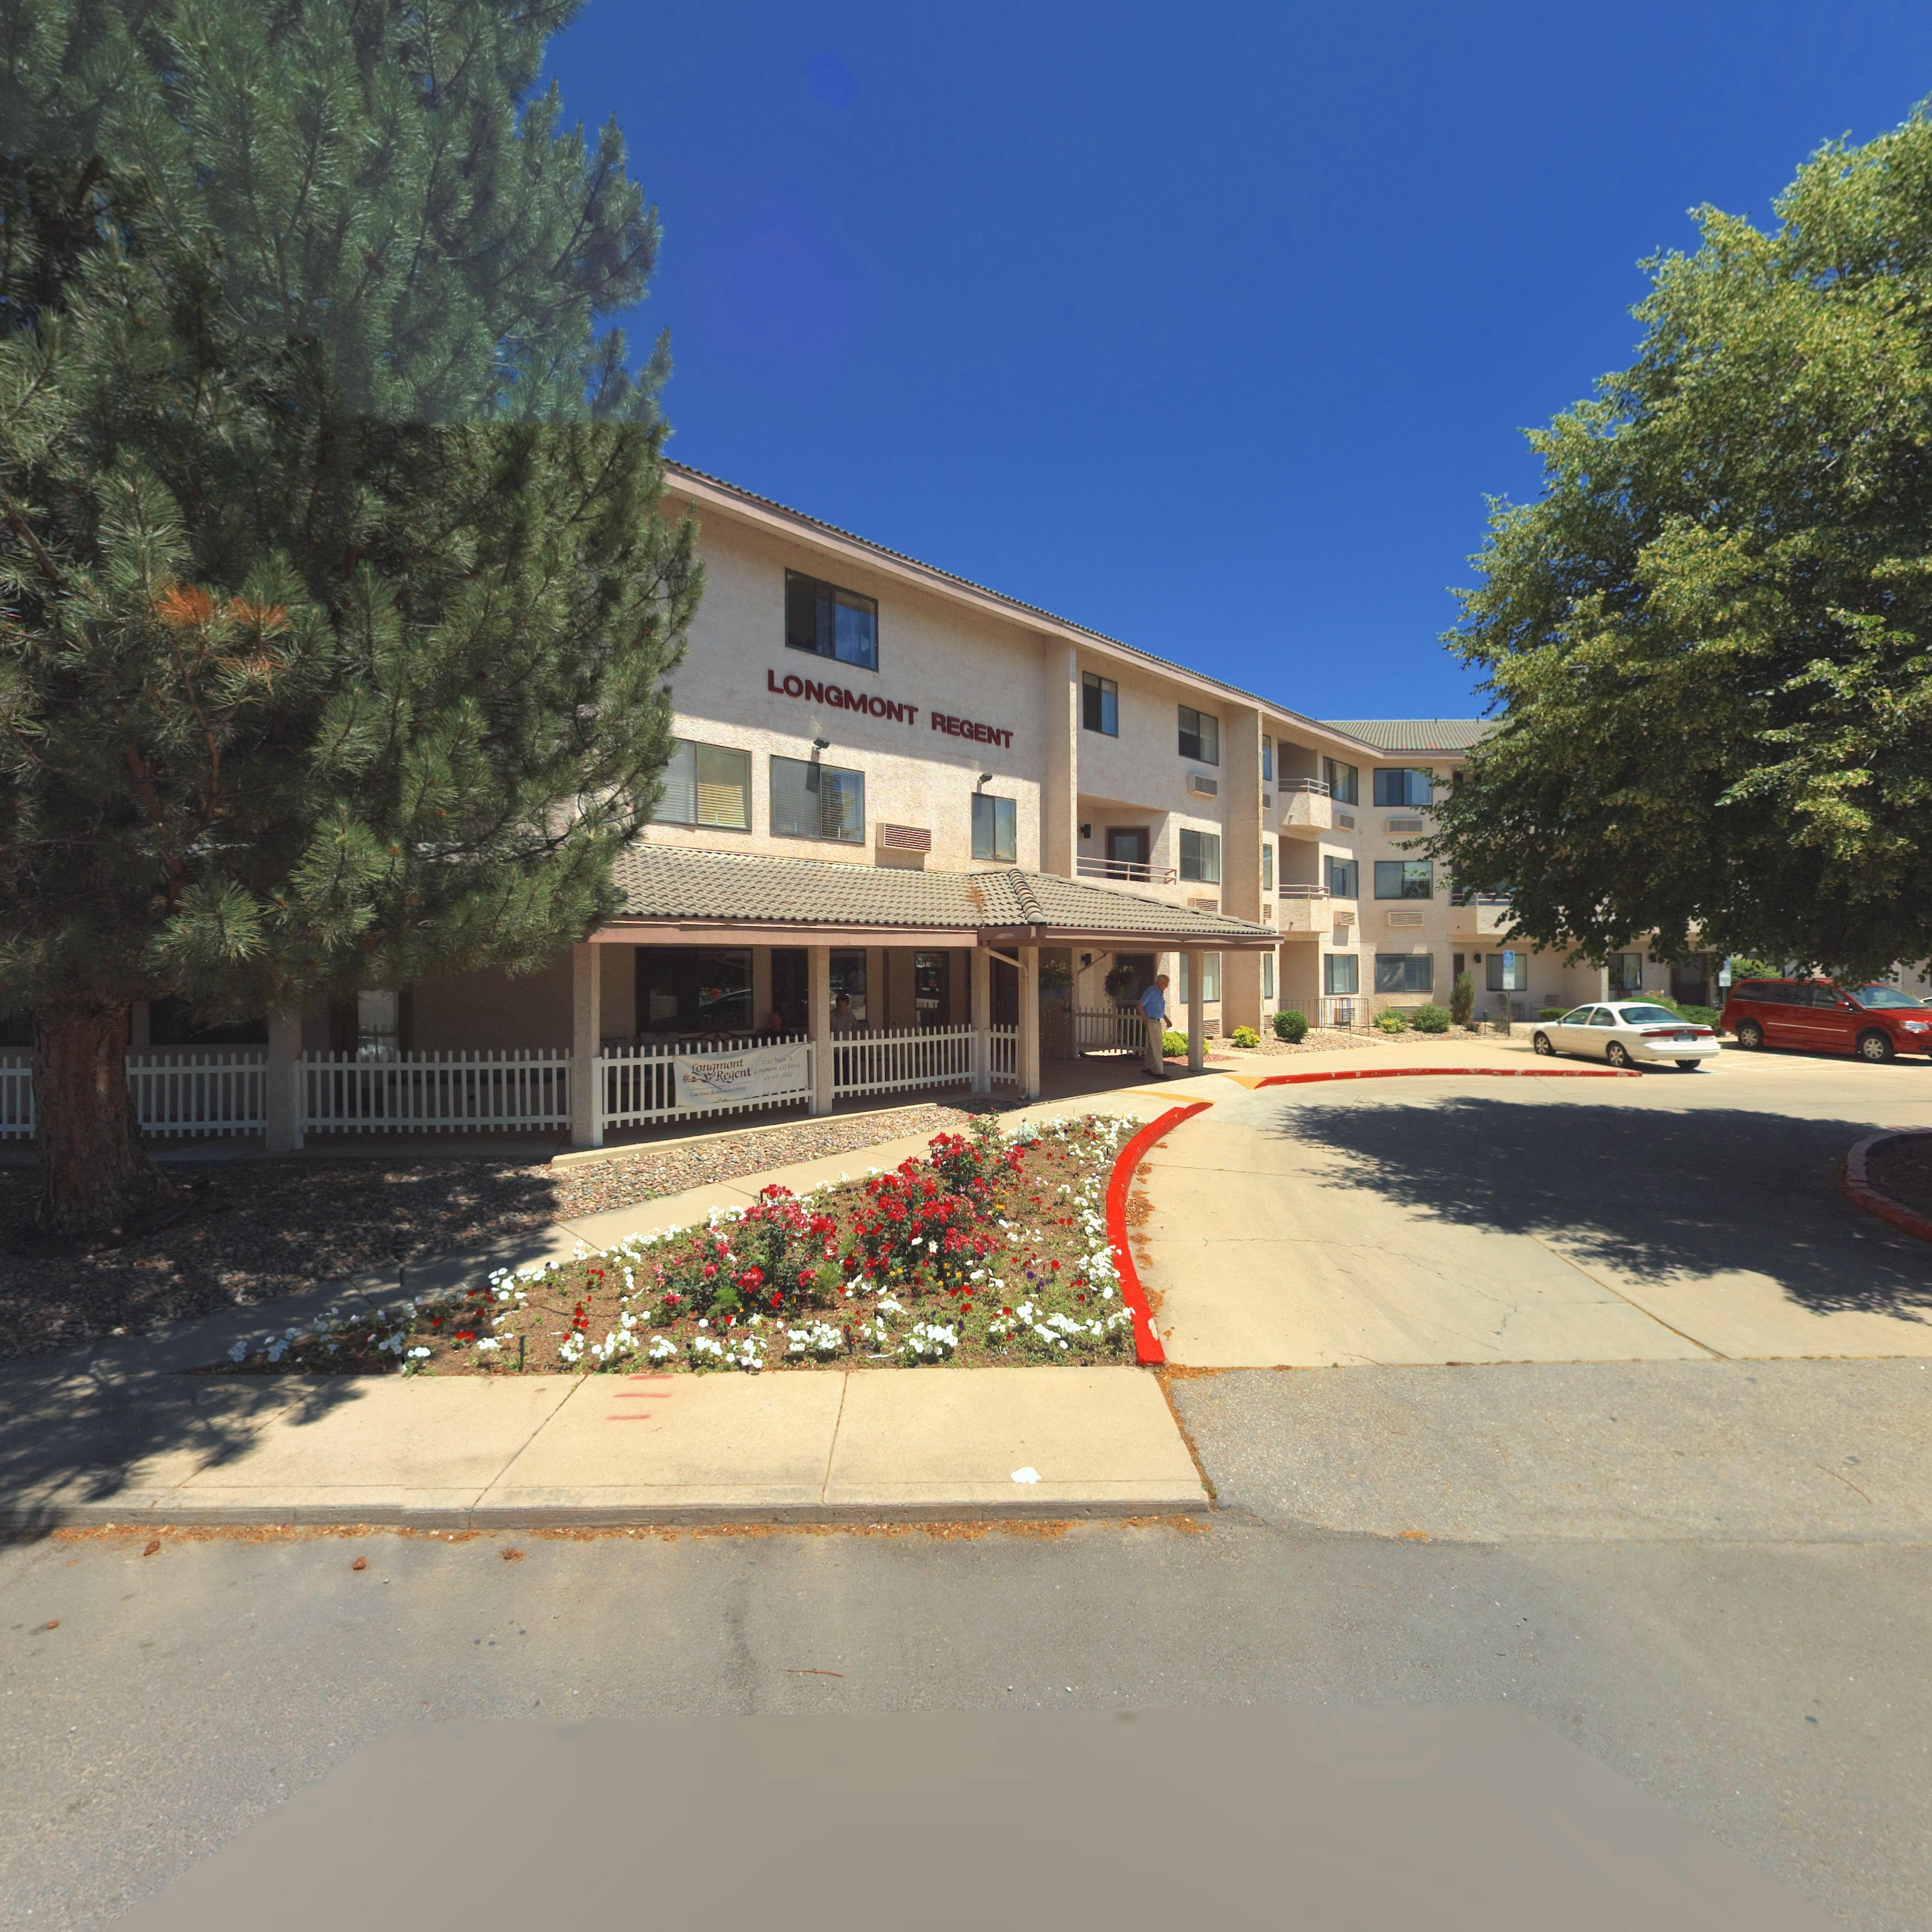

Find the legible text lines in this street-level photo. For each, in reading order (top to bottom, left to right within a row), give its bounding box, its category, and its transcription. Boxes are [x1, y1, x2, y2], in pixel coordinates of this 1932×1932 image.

[767, 668, 1014, 749] BusinessName: LONGMONT REGENT
[691, 1058, 744, 1076] BusinessName: Longmont
[713, 1067, 752, 1083] BusinessName: Regent
[761, 1059, 773, 1064] StreetNumber: 2210
[773, 1055, 793, 1063] StreetName: Main St